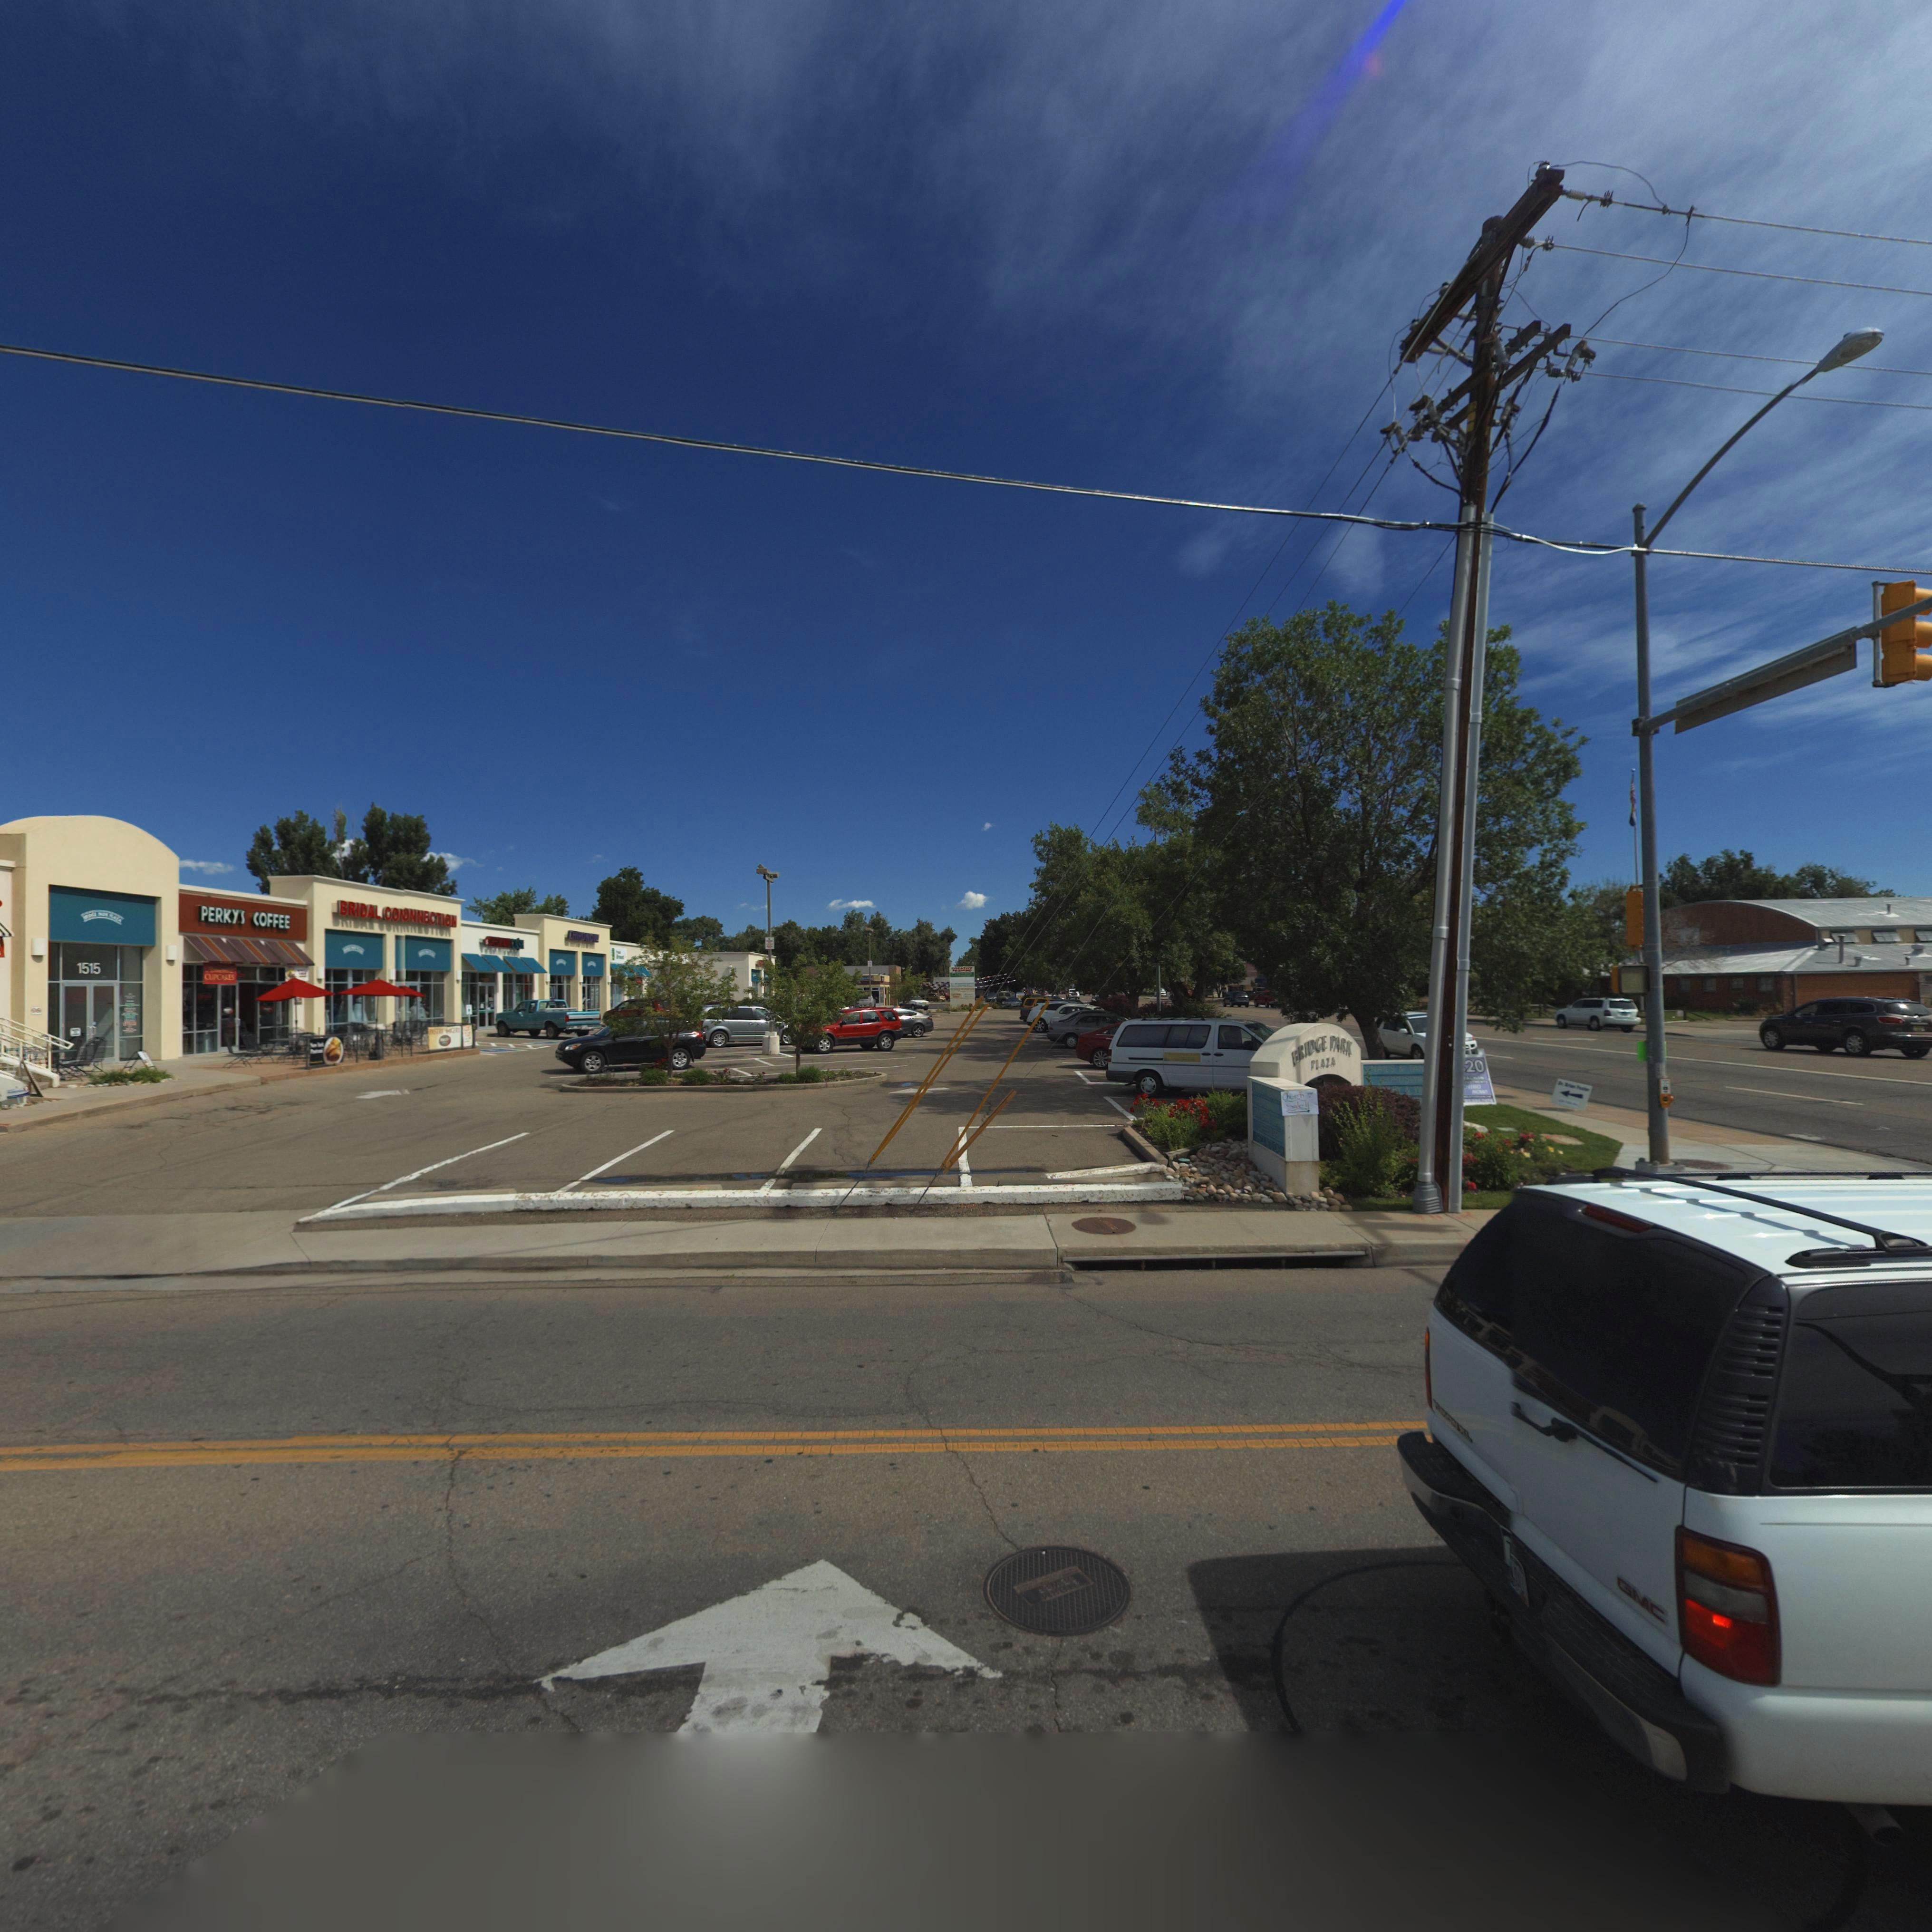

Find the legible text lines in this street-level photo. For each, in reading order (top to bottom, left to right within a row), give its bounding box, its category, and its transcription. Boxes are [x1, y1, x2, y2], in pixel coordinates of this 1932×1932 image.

[200, 904, 291, 930] BusinessName: PERKYS COFFEE
[338, 898, 457, 929] BusinessName: BRIDAL COONNECTION
[483, 935, 525, 951] BusinessName: C****CA*H
[567, 929, 599, 944] BusinessName: CH*RONO**
[76, 961, 101, 975] StreetNumber: 1515